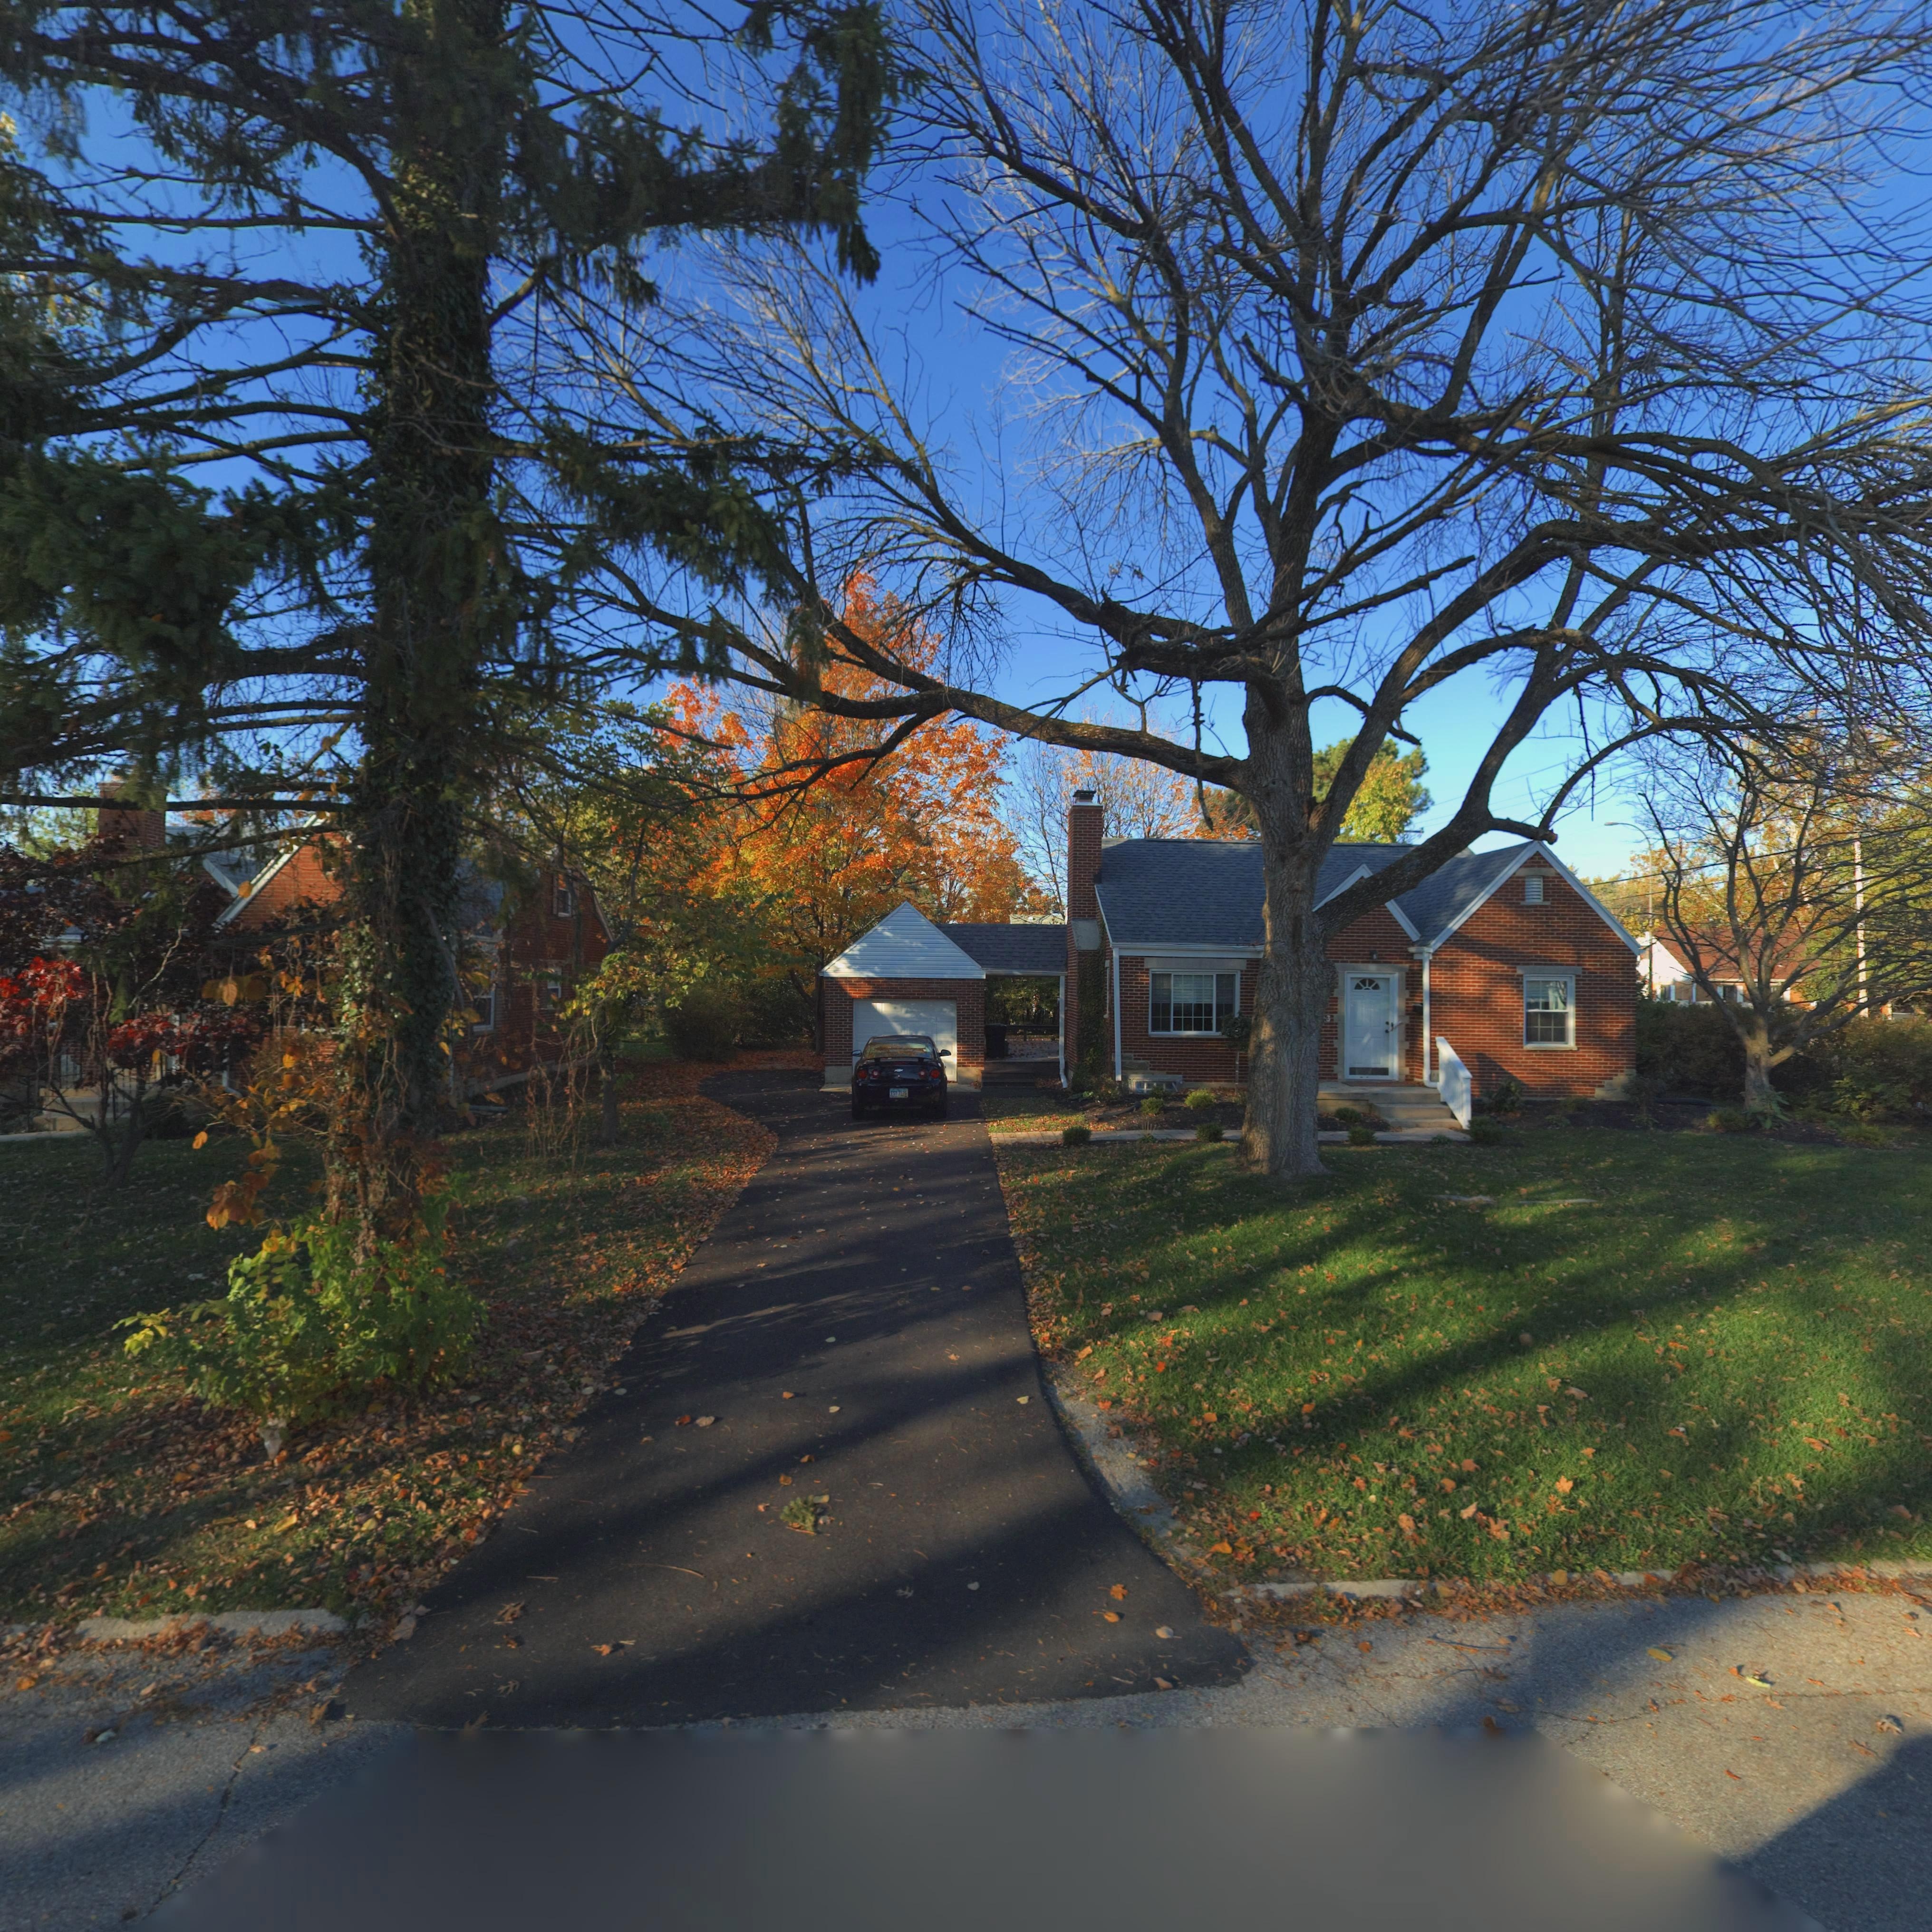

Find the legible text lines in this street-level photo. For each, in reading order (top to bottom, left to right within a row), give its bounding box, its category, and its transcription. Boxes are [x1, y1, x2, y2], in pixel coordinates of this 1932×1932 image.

[1325, 1015, 1331, 1022] StreetNumber: 3